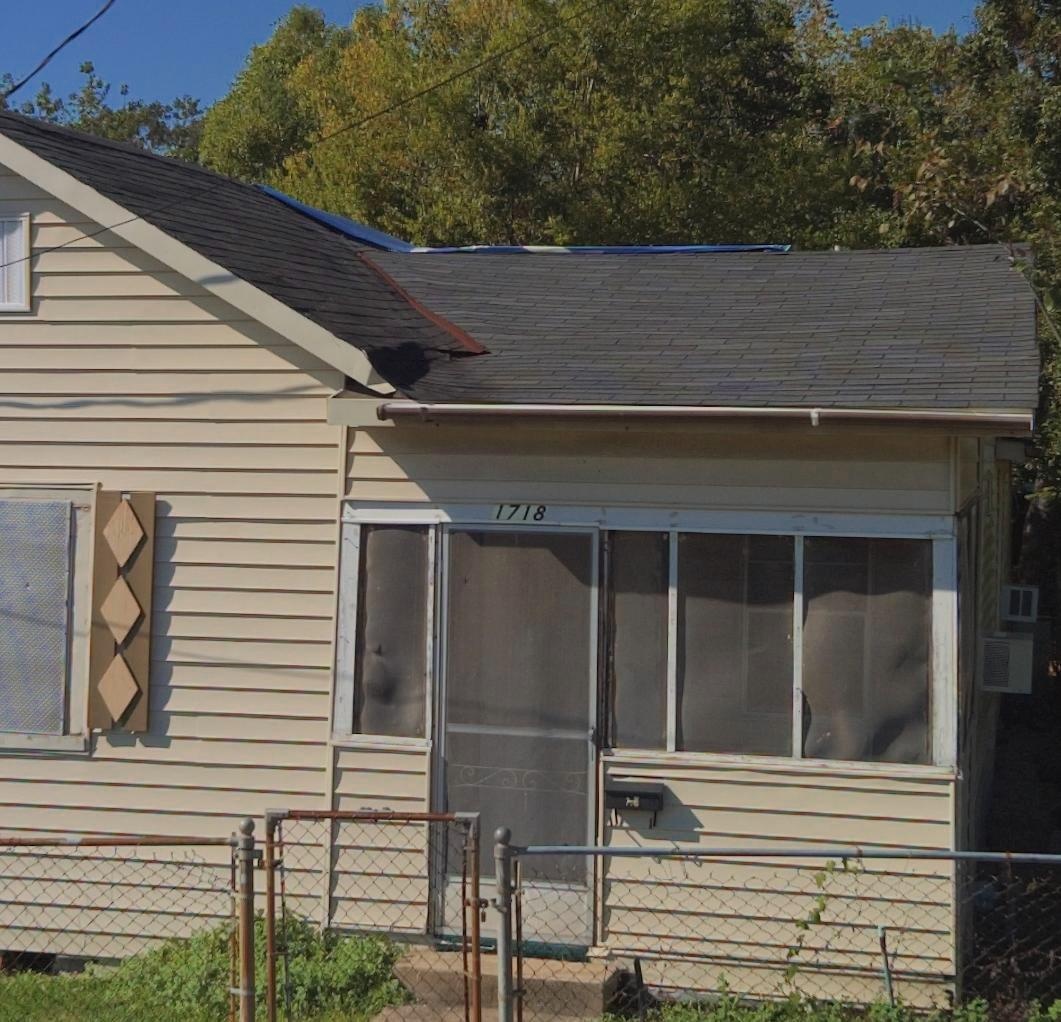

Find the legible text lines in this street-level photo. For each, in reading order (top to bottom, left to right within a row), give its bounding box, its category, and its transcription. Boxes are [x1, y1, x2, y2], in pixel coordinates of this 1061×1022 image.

[490, 502, 550, 524] StreetNumber: 1718